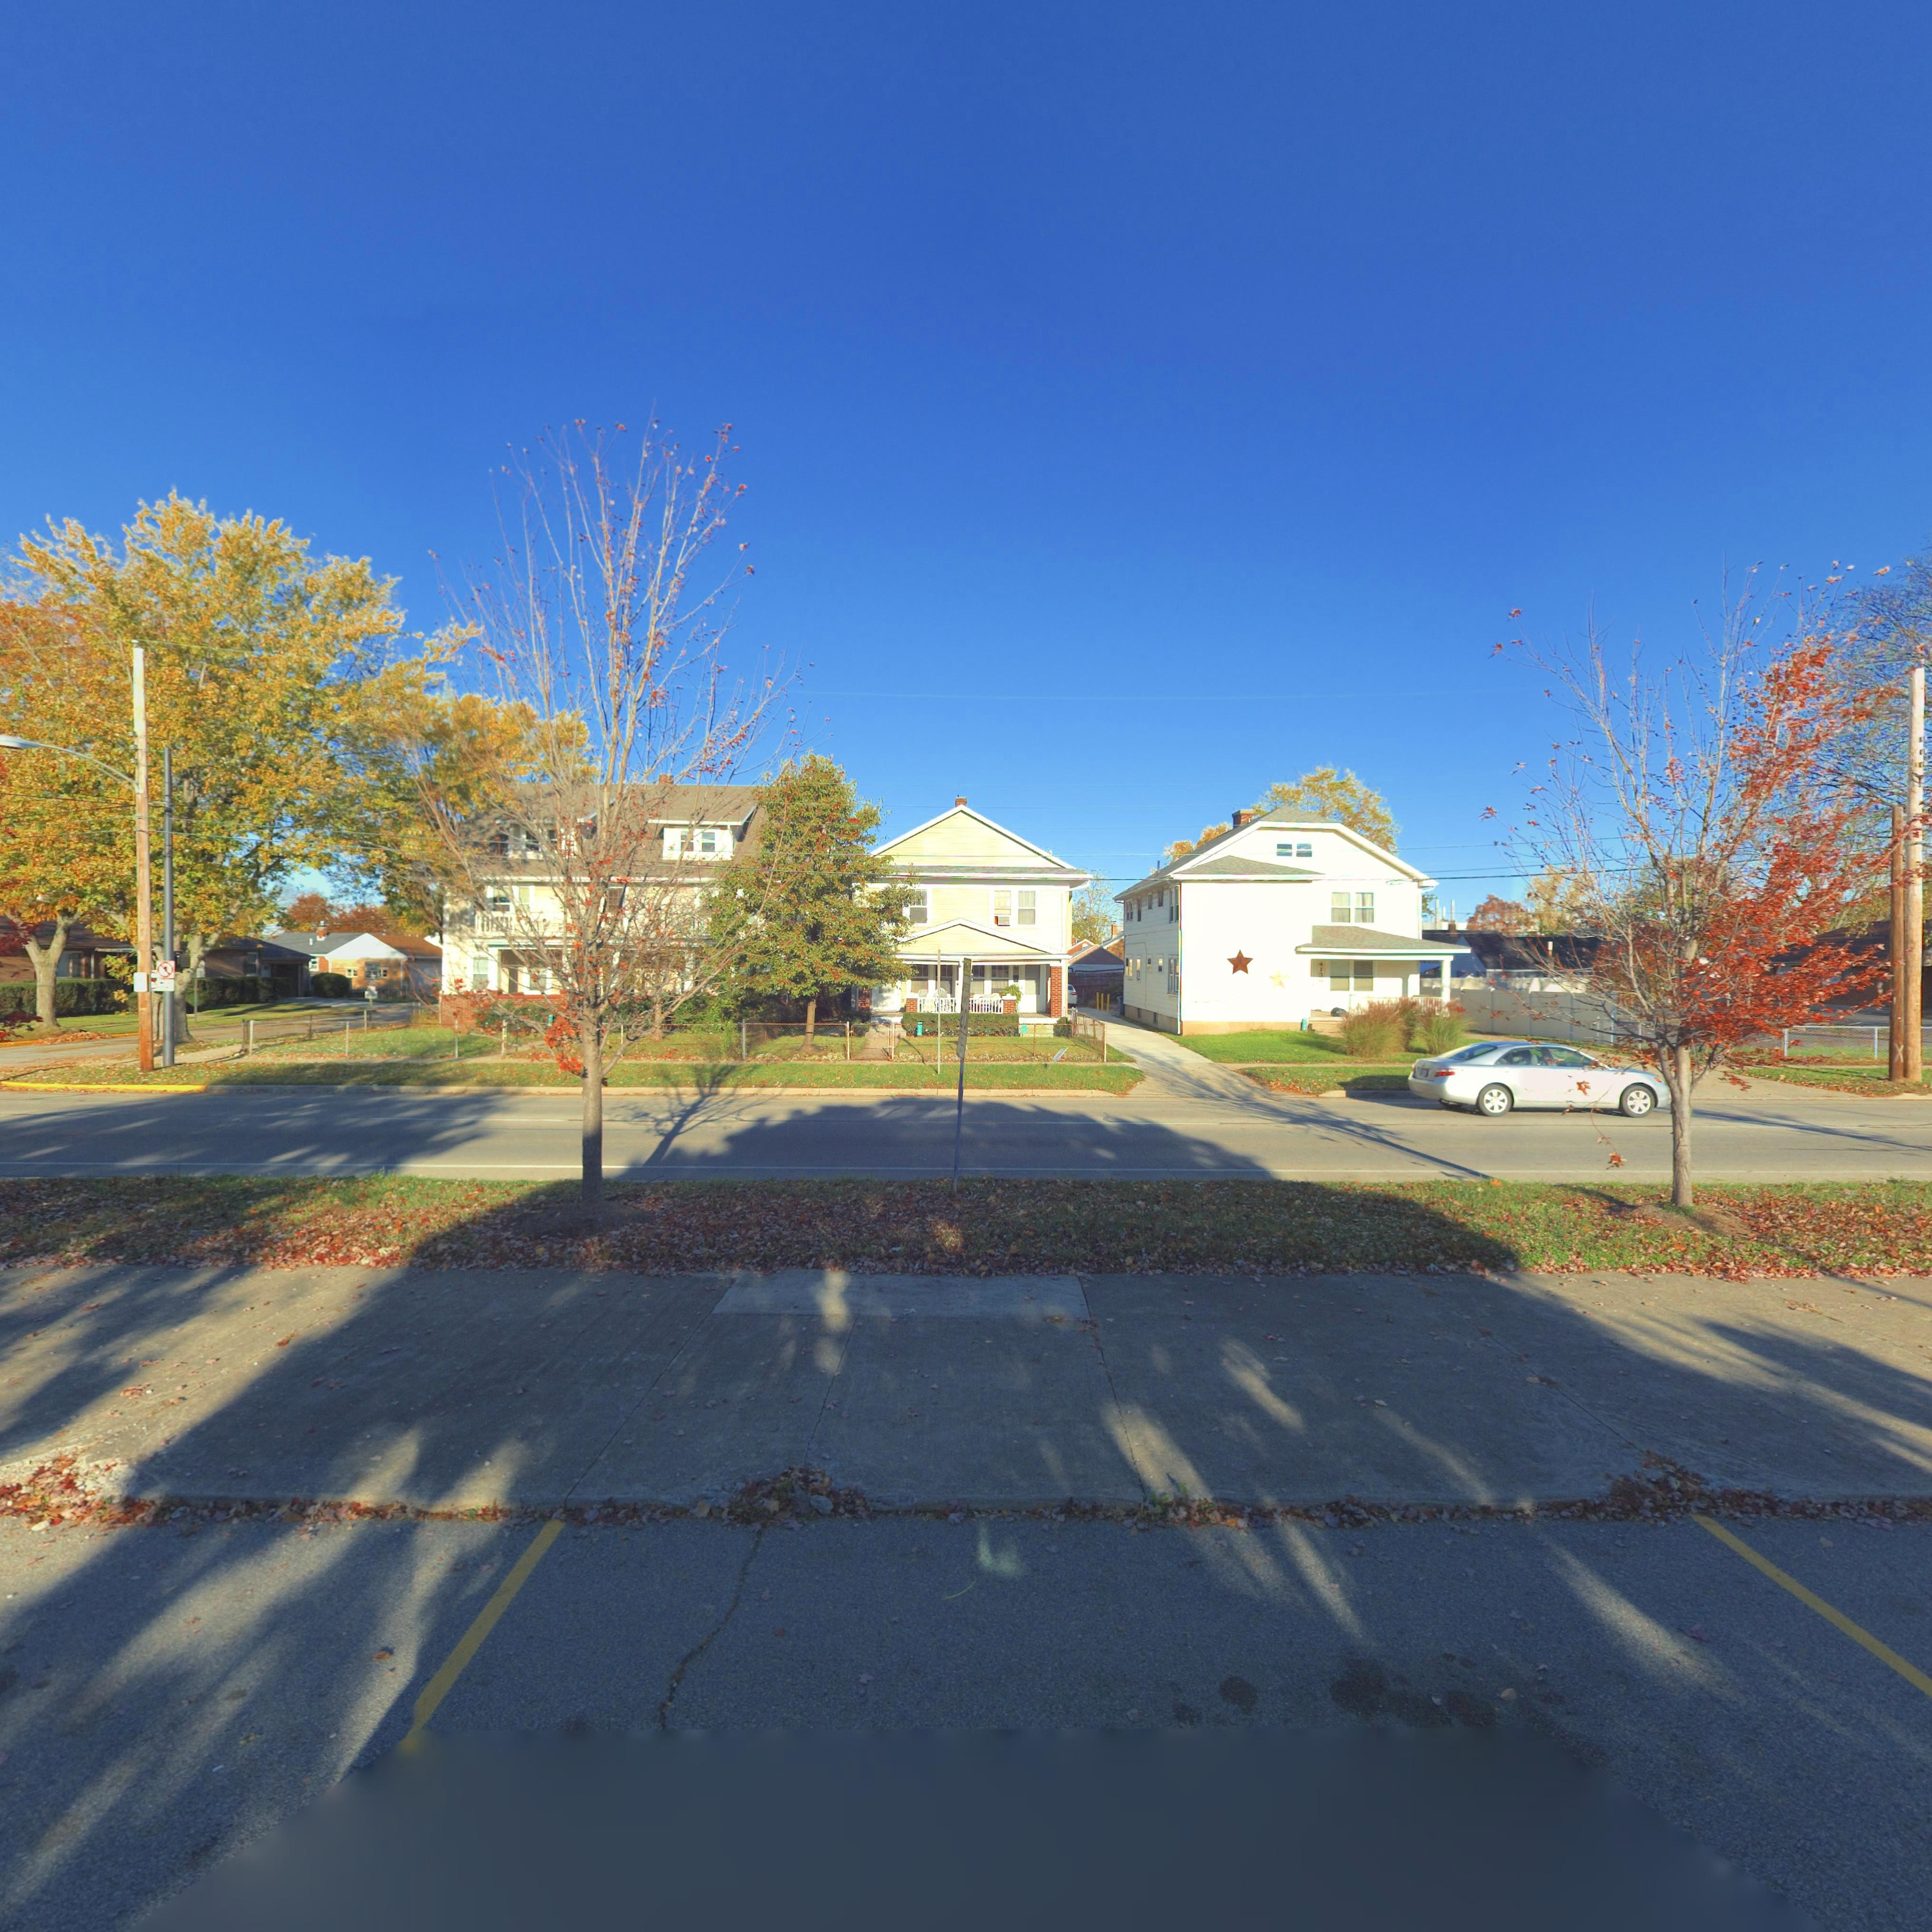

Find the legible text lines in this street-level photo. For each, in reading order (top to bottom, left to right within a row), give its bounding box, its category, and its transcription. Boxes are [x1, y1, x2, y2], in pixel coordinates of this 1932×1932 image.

[1318, 961, 1323, 982] StreetNumber: 413*